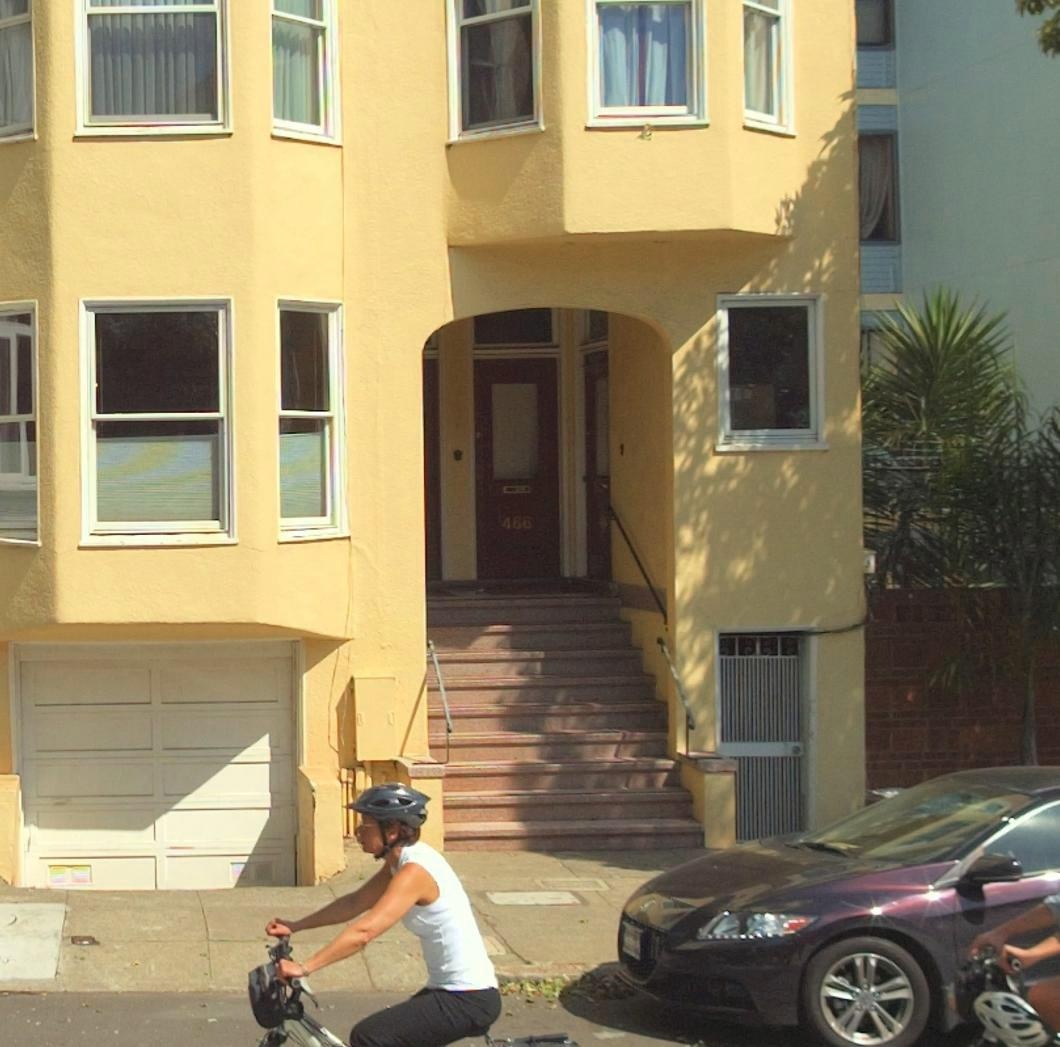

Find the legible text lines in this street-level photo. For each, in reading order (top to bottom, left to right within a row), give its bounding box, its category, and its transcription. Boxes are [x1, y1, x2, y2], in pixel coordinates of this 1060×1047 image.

[501, 514, 536, 532] StreetNumber: 466